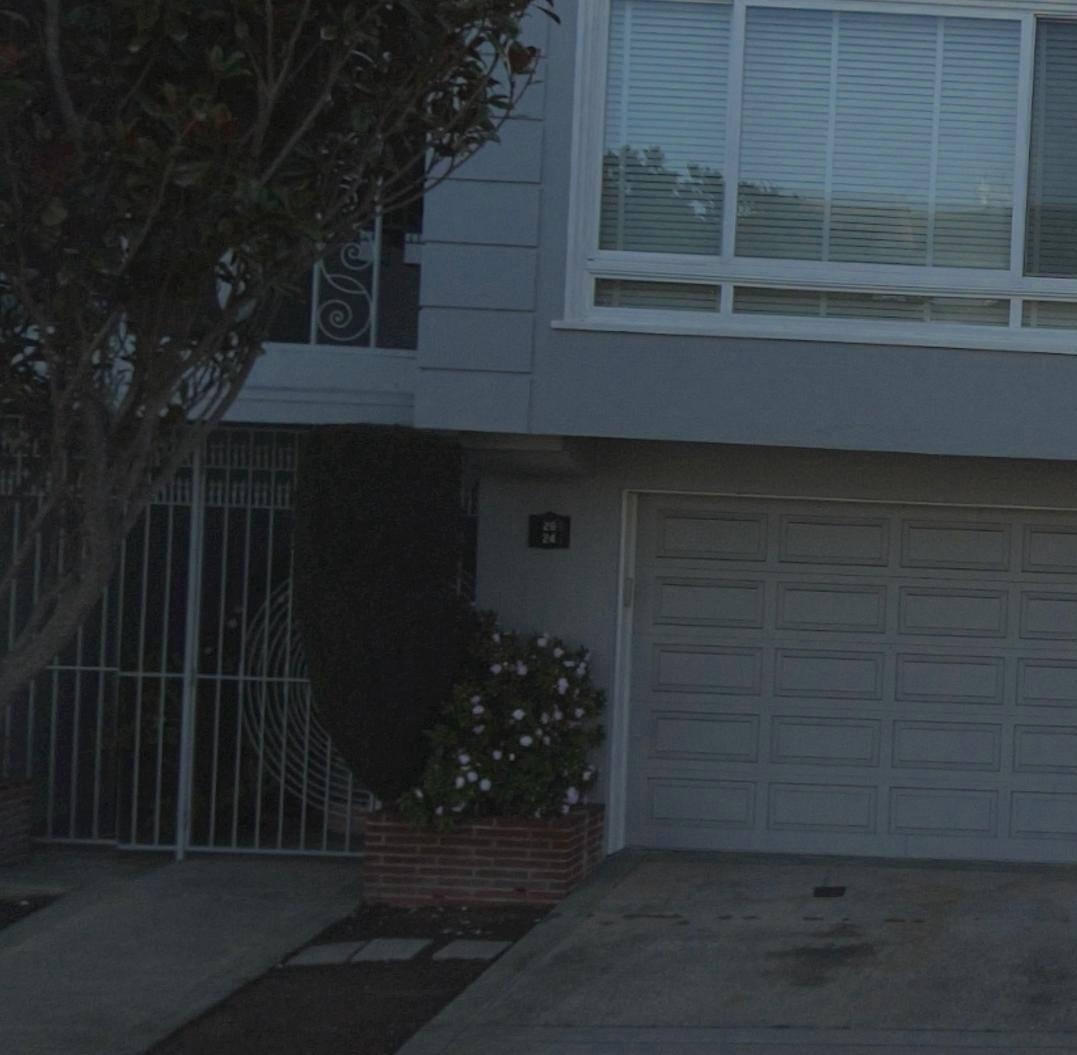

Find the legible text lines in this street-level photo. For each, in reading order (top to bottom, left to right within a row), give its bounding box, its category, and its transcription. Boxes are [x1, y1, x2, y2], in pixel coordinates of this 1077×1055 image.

[541, 519, 558, 532] StreetNumber: 26
[540, 531, 558, 546] StreetNumber: 24